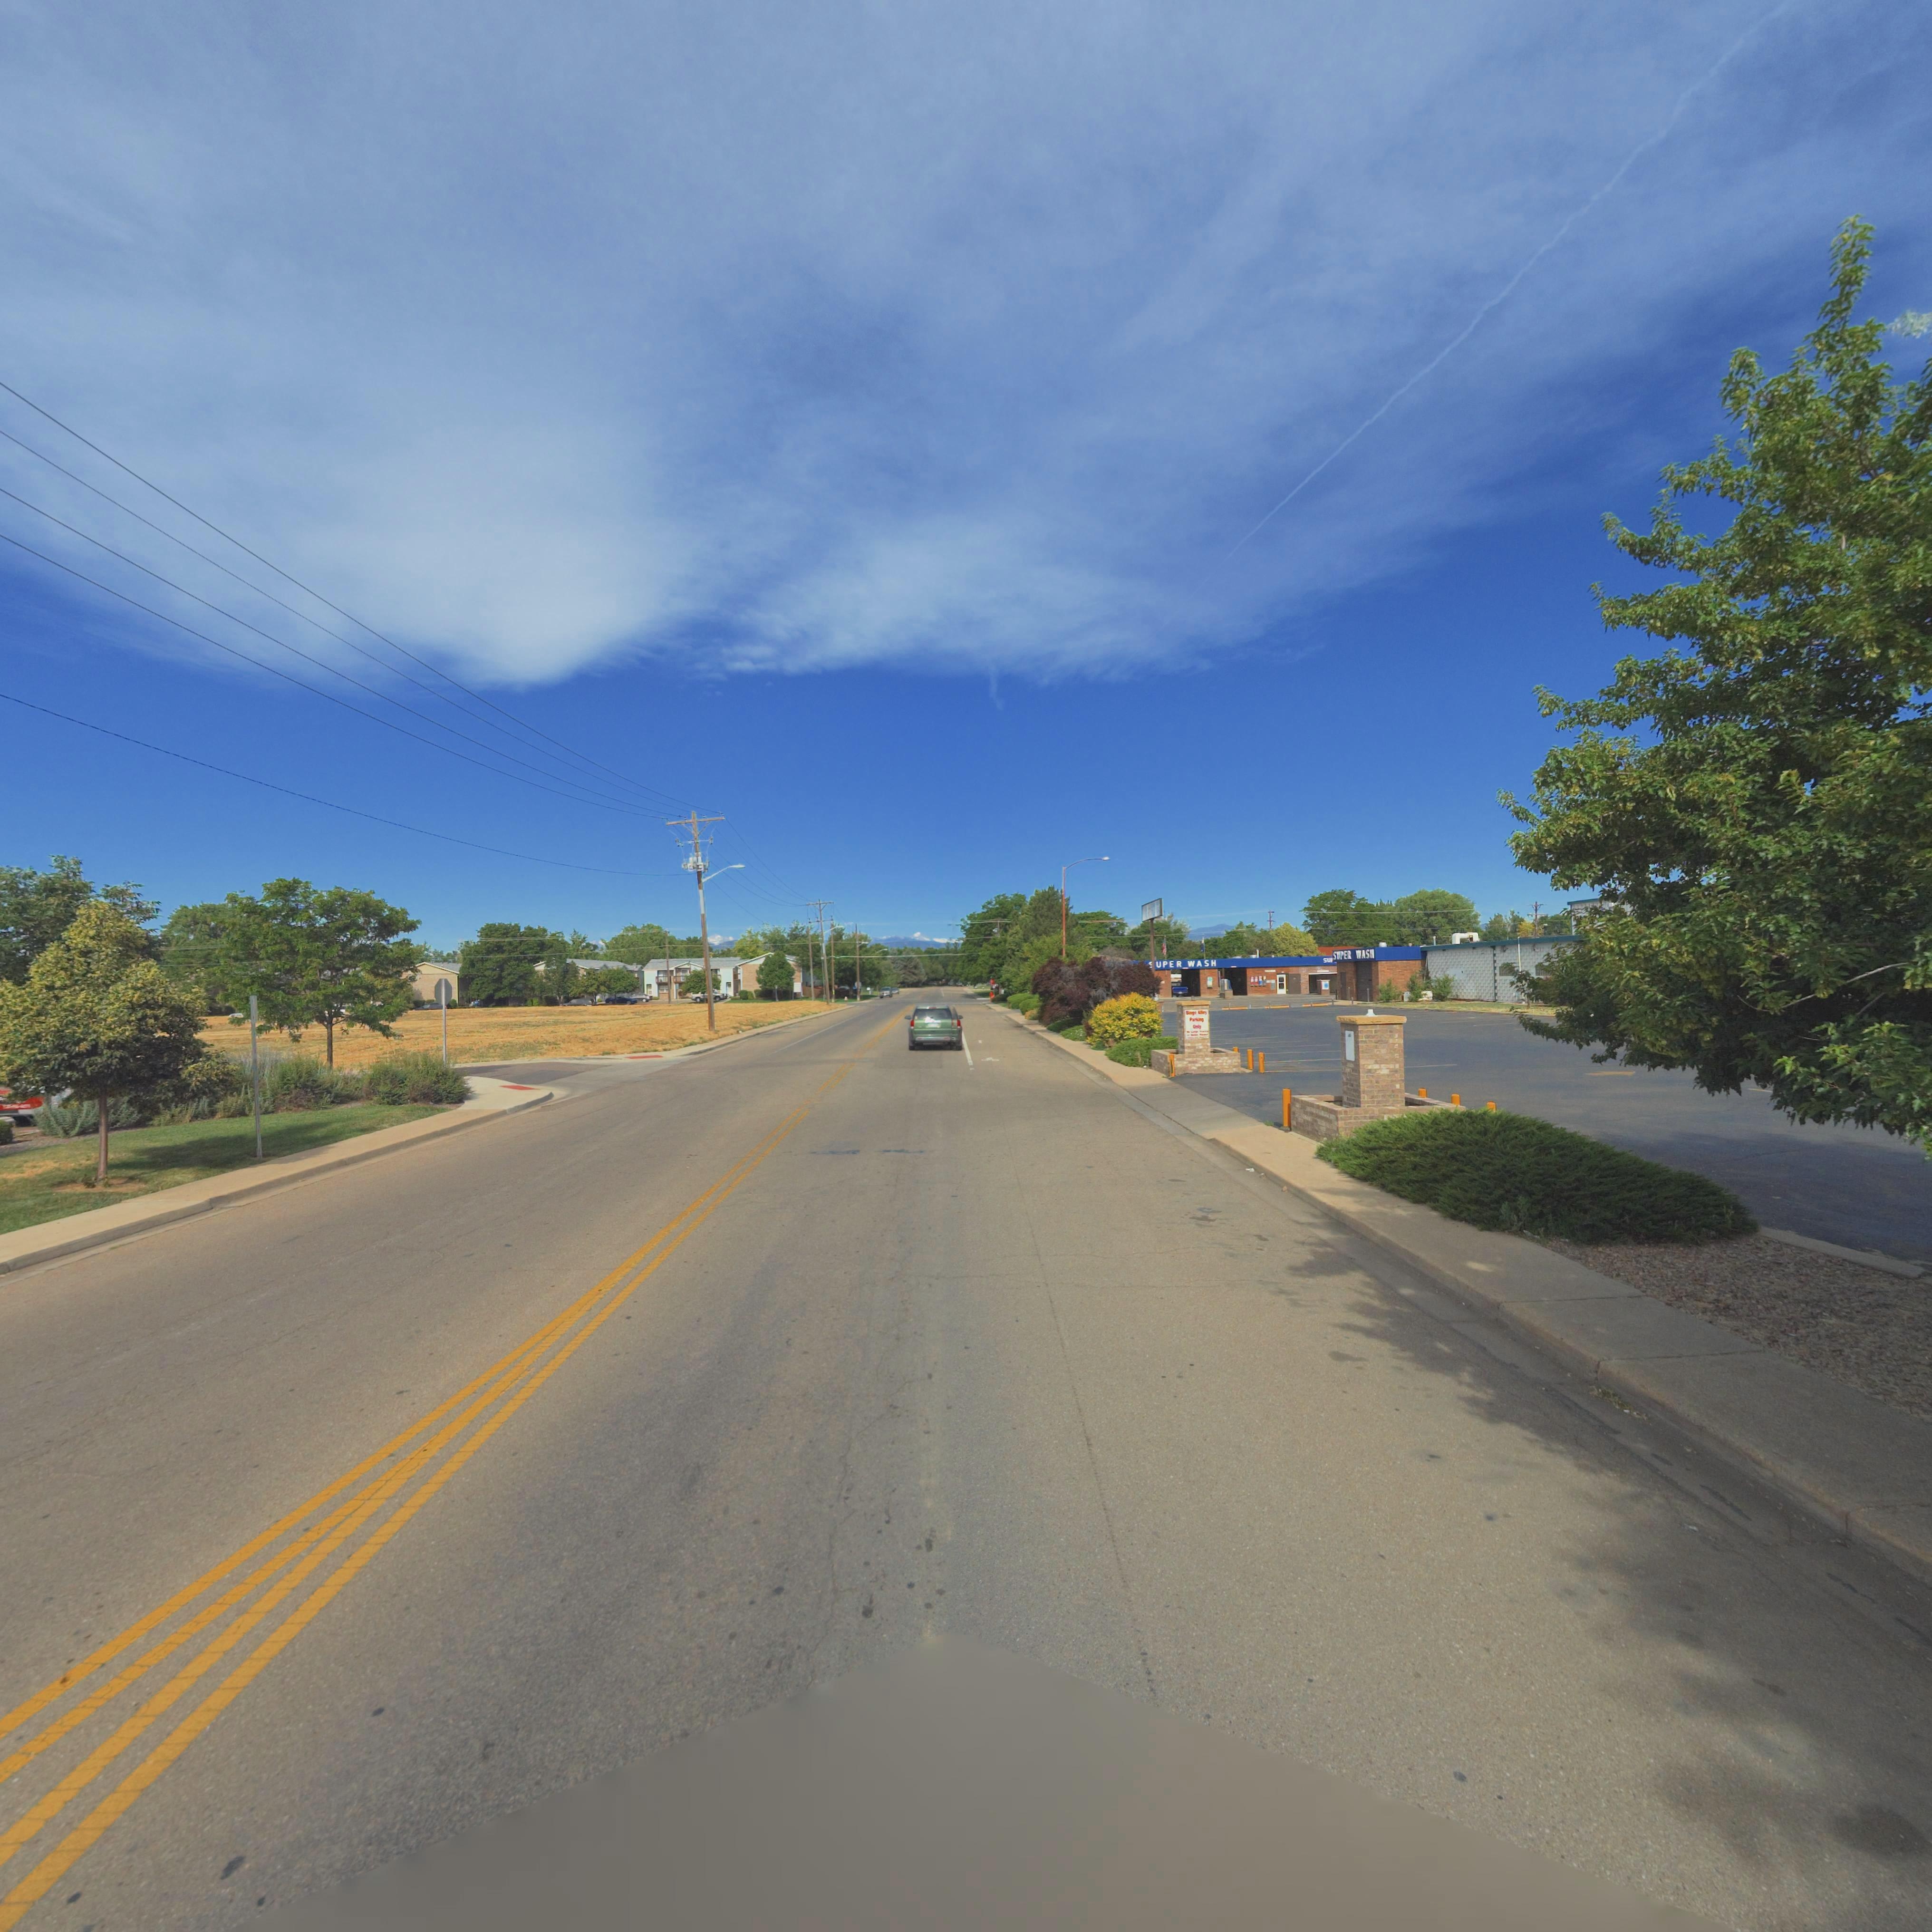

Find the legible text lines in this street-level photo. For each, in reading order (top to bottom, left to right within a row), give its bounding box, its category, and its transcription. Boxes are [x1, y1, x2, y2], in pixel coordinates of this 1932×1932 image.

[1333, 948, 1375, 960] BusinessName: SUPER WASH
[1148, 959, 1216, 968] BusinessName: *UPER WASH